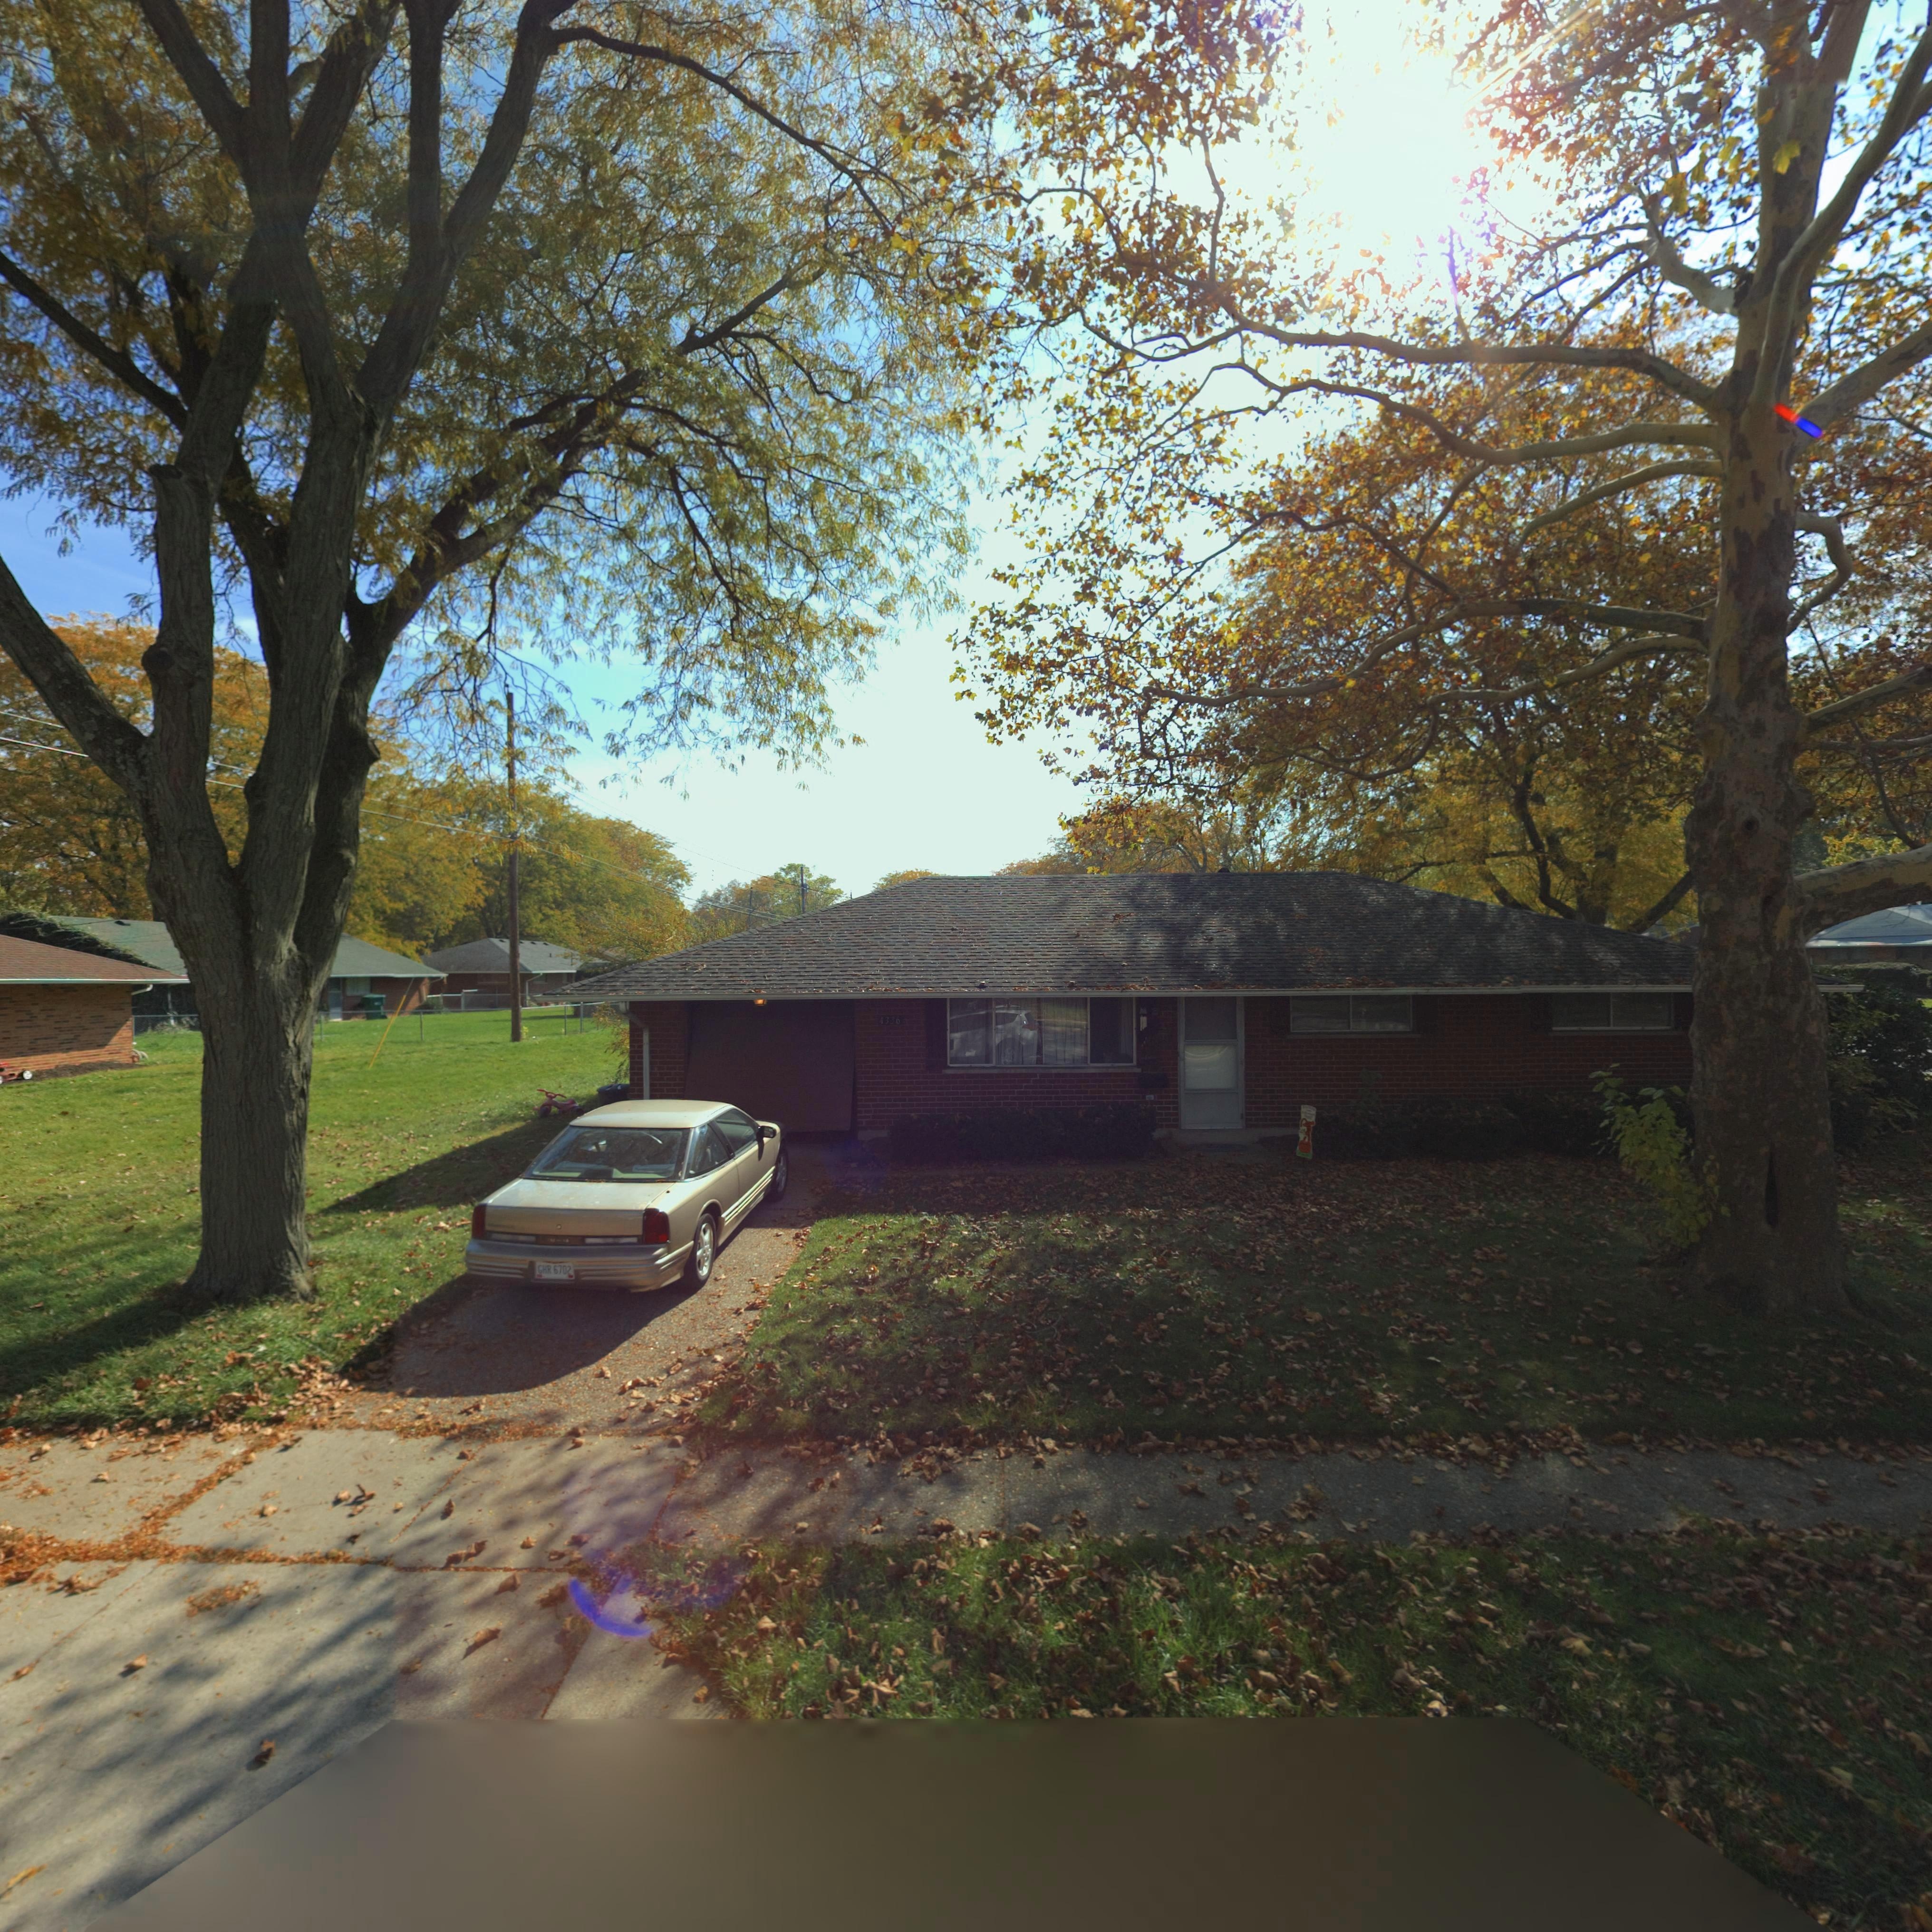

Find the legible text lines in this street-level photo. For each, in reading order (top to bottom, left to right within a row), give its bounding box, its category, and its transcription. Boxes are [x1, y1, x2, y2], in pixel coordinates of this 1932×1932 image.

[878, 1014, 902, 1025] StreetNumber: 4336